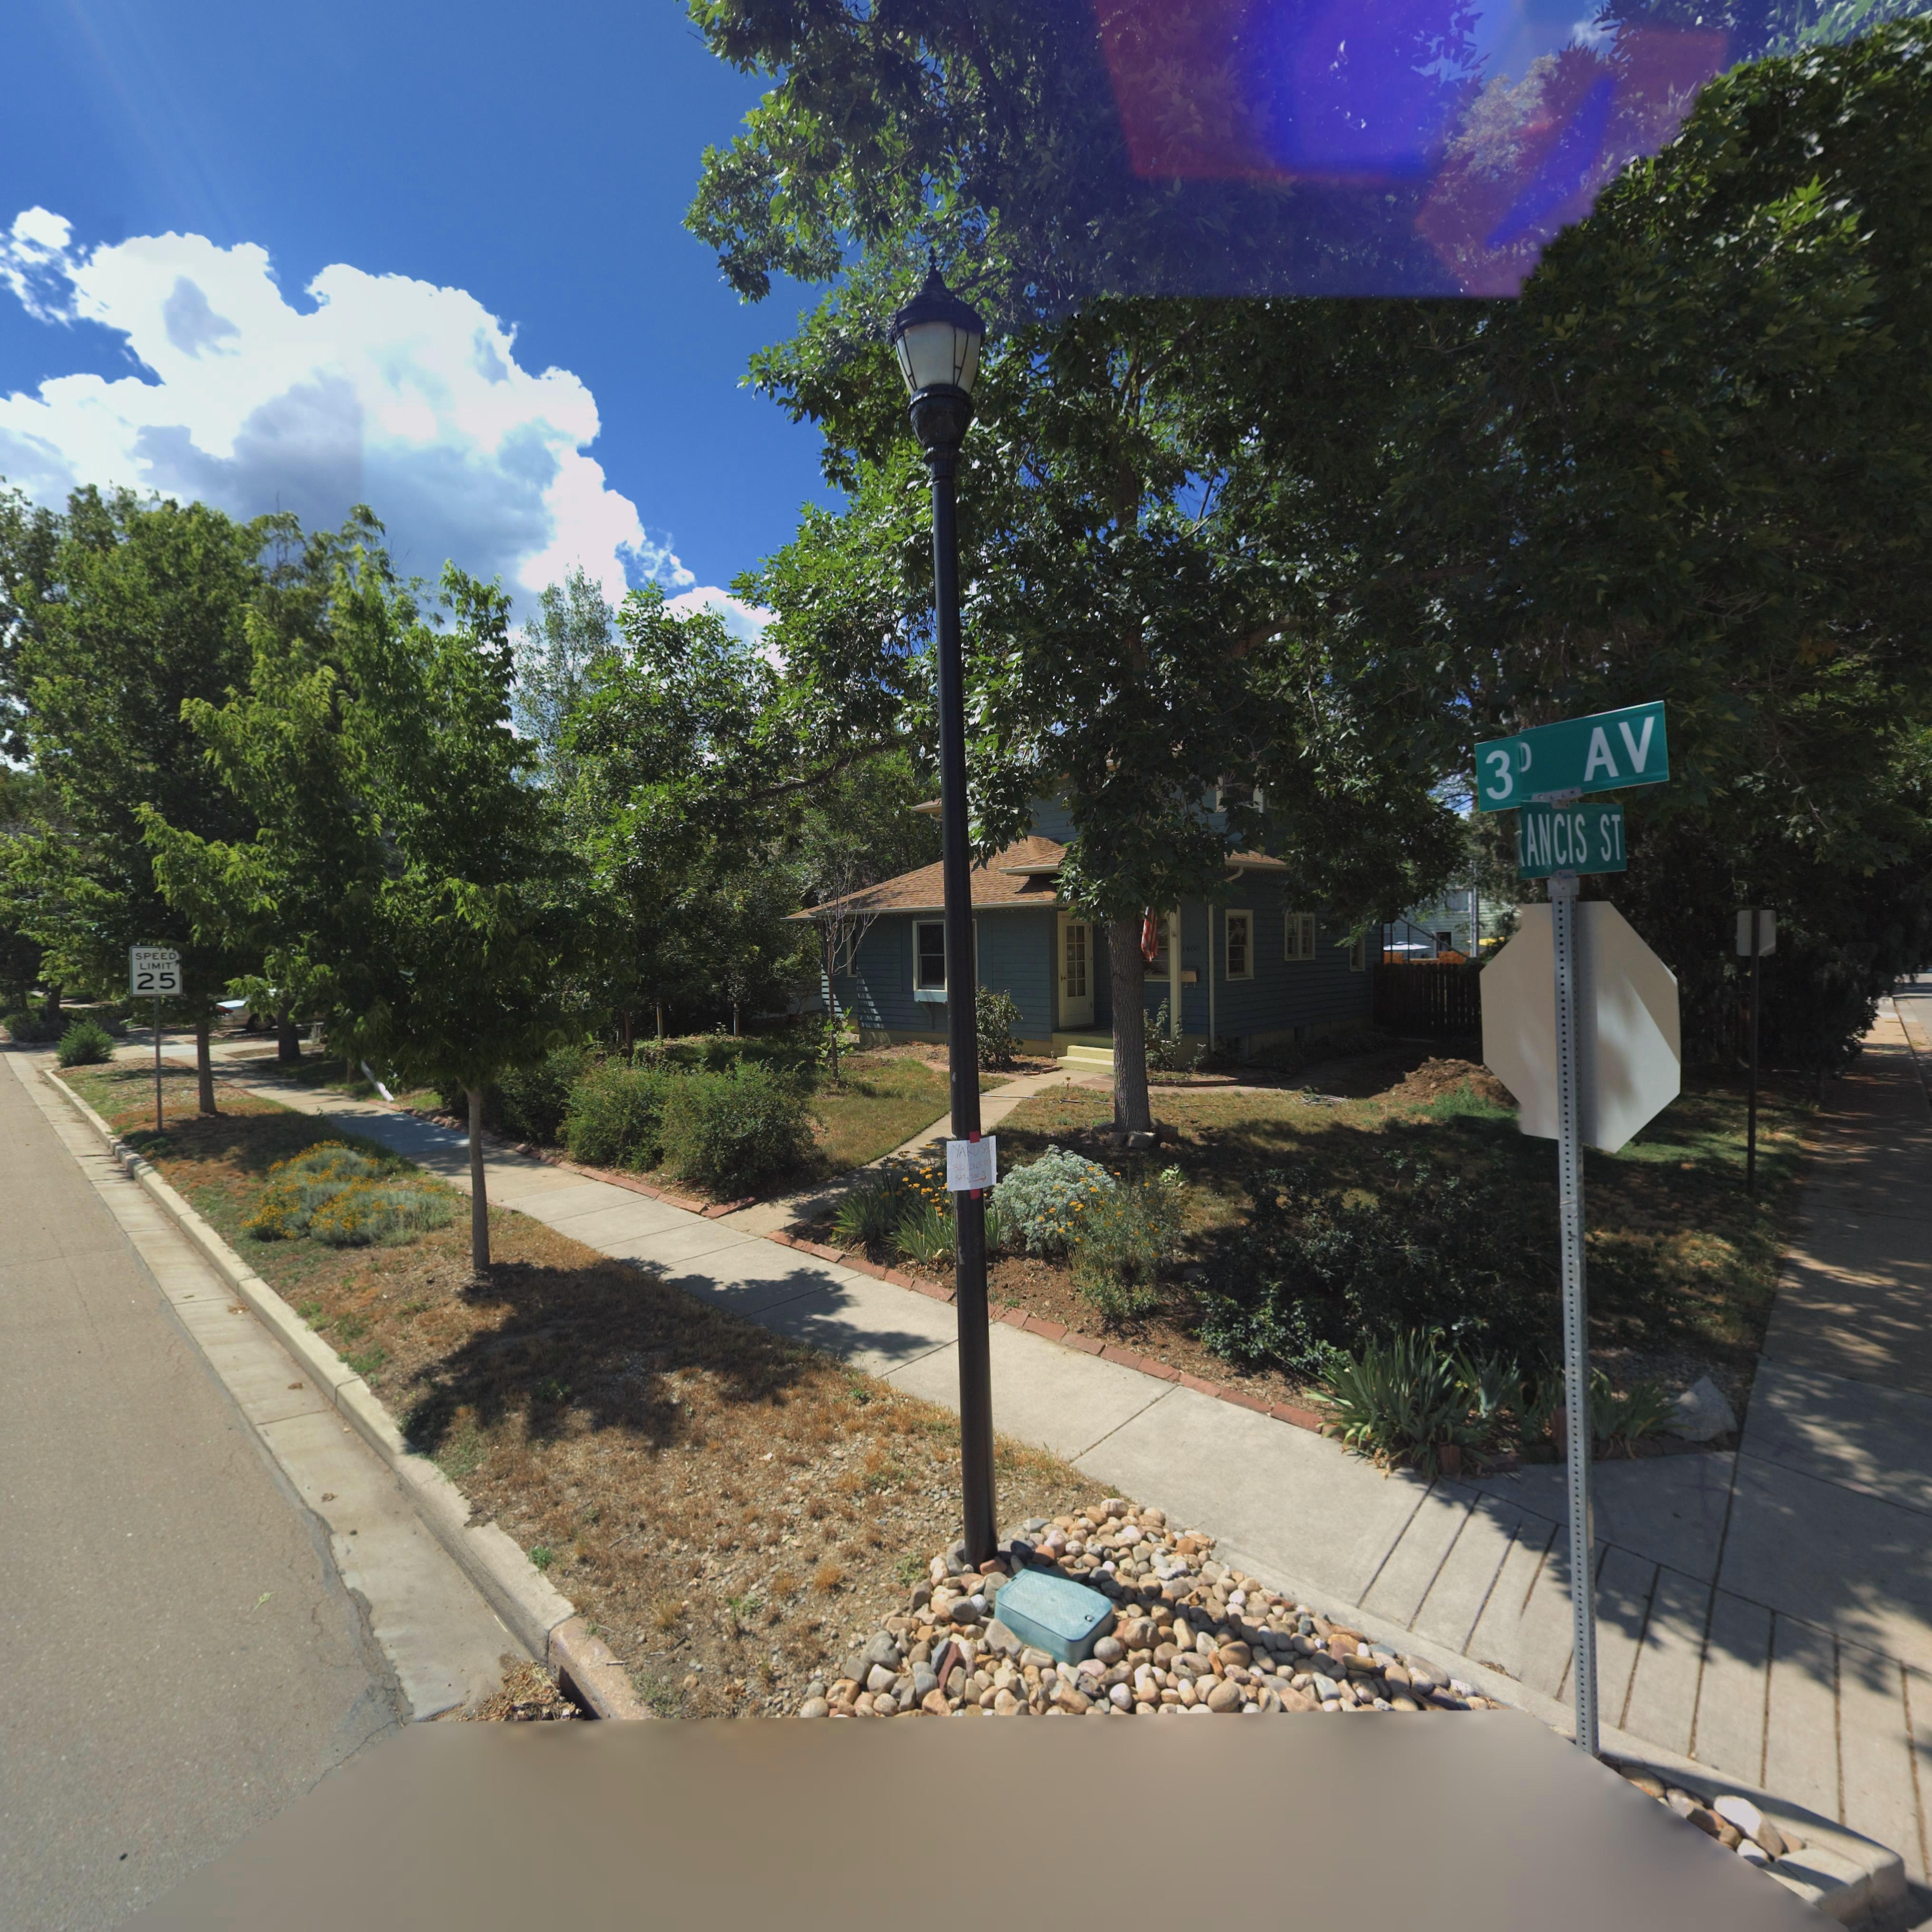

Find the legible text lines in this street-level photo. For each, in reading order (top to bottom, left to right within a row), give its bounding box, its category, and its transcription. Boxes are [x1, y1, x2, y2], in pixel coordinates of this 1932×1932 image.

[1483, 714, 1656, 800] StreetName: 3* AV
[1526, 812, 1622, 868] StreetName: ANCIS ST
[1182, 945, 1199, 951] StreetNumber: 1400